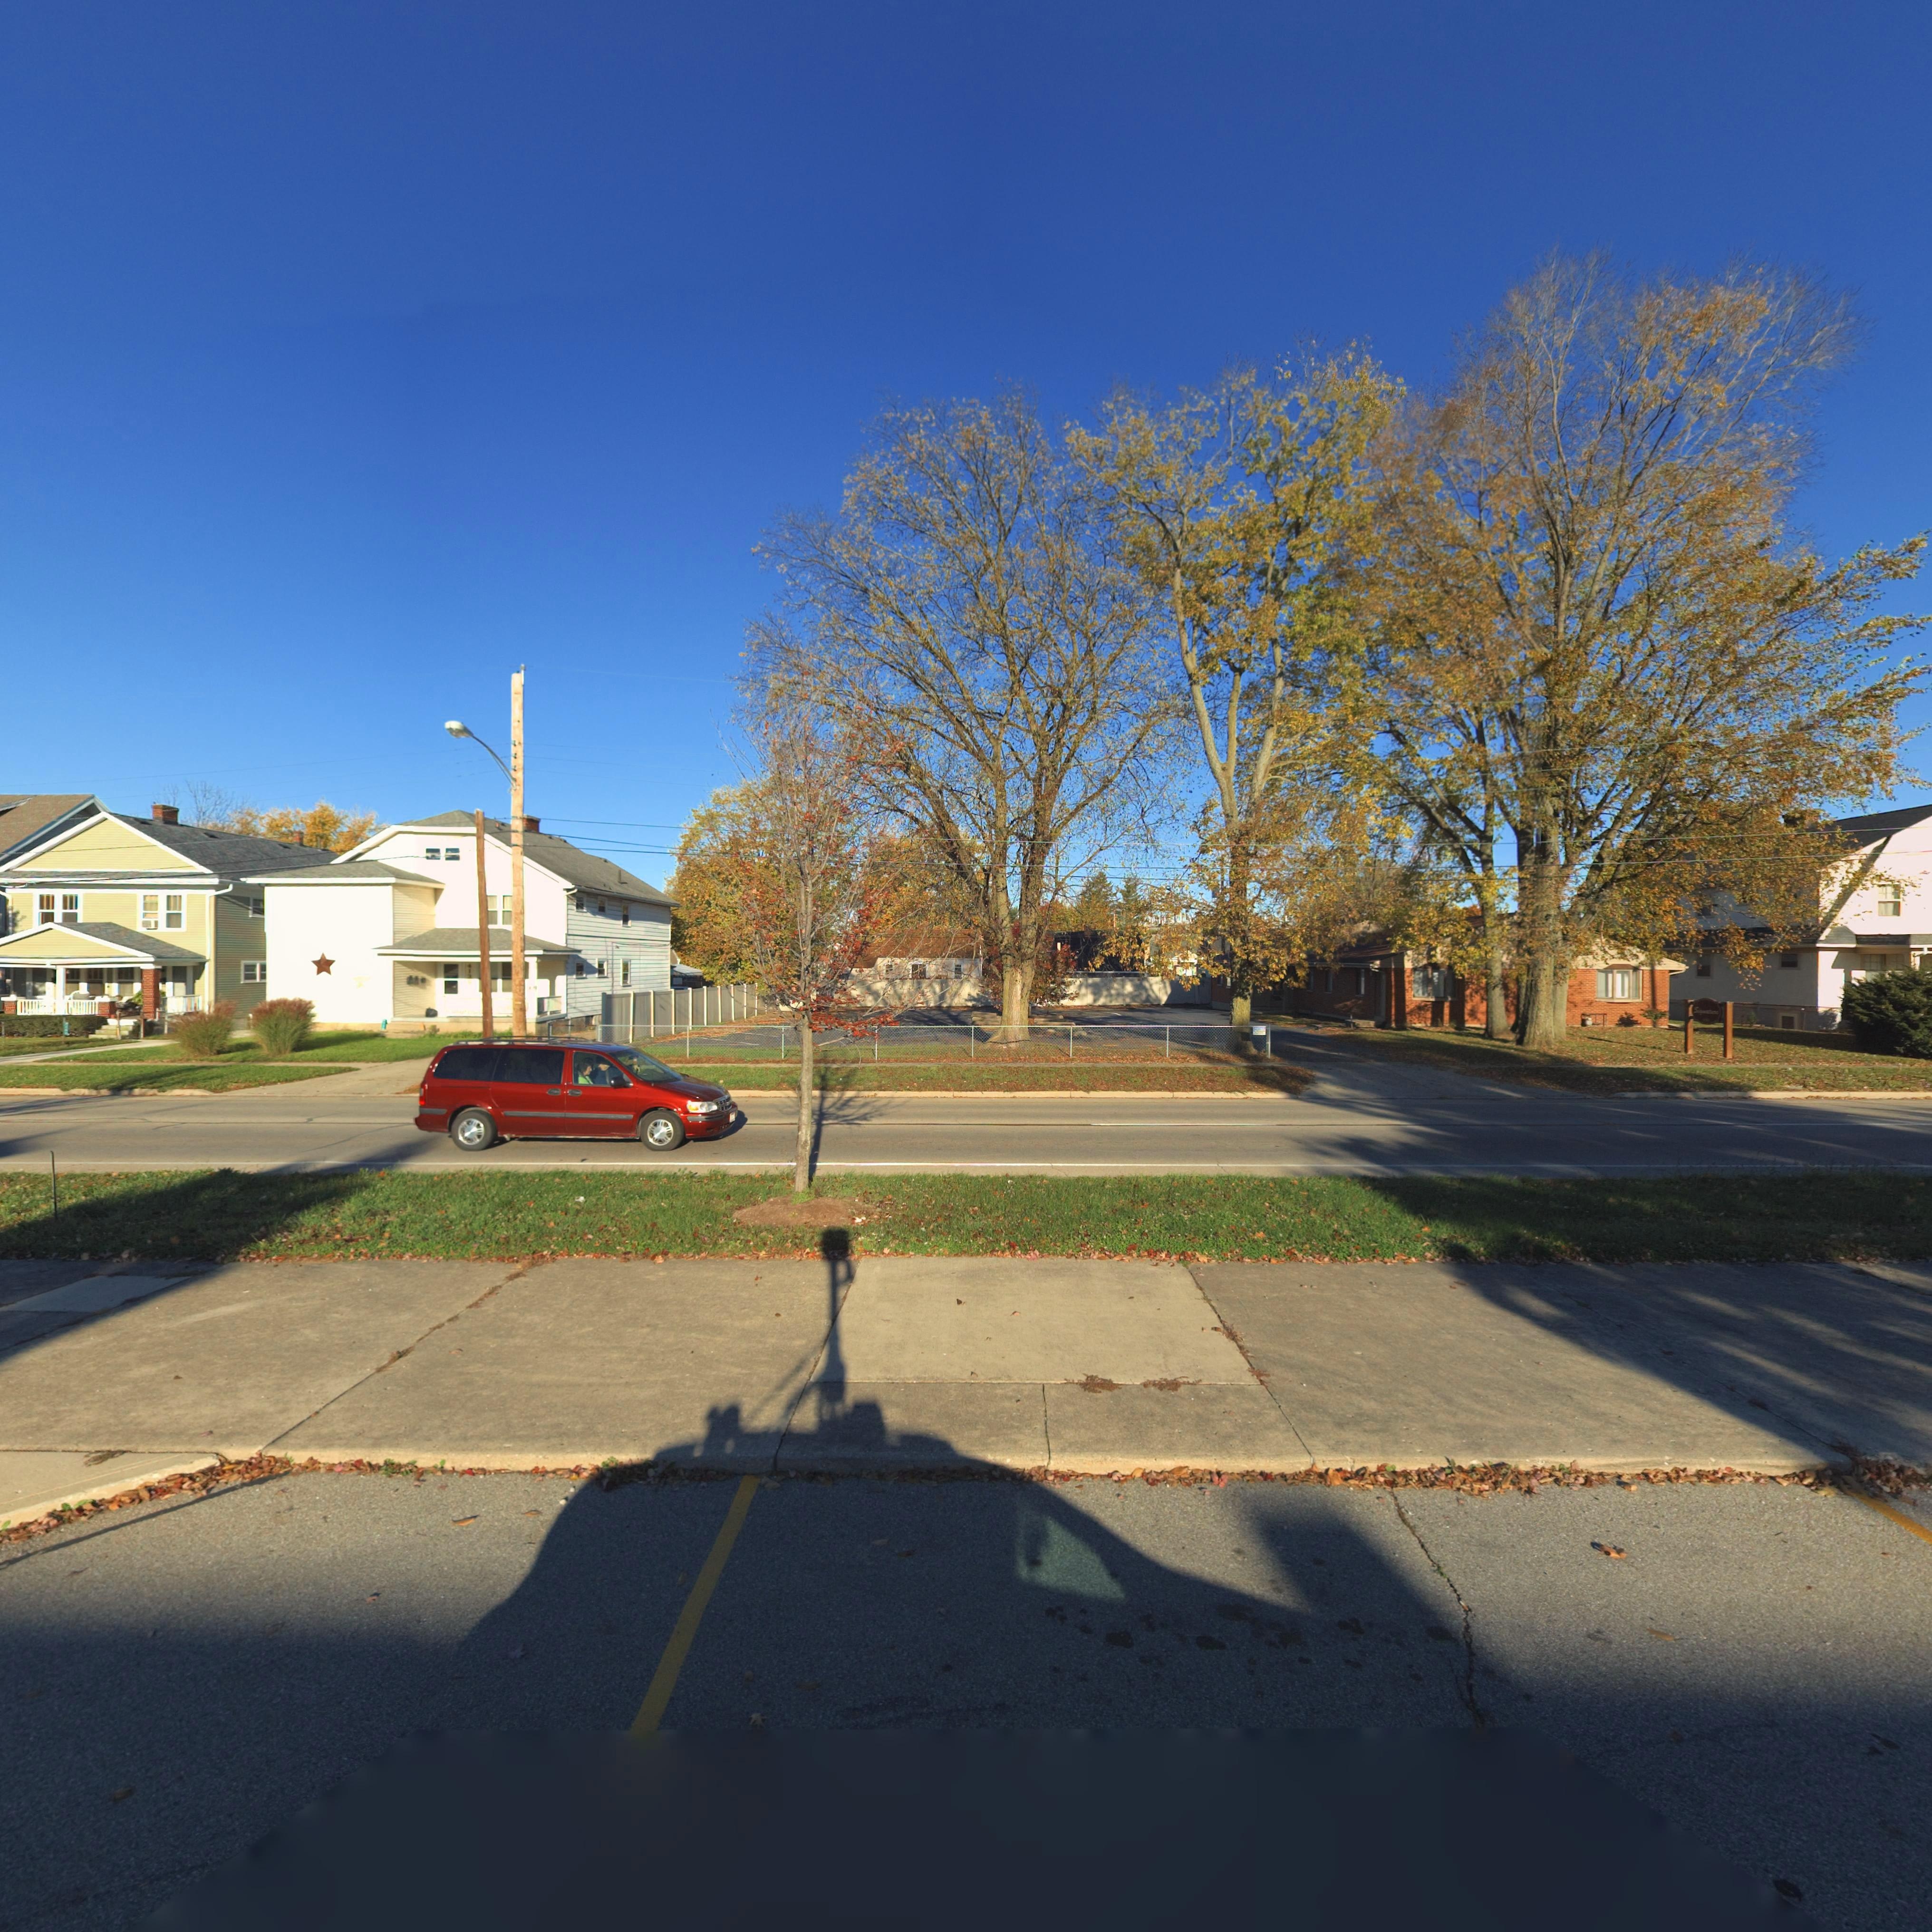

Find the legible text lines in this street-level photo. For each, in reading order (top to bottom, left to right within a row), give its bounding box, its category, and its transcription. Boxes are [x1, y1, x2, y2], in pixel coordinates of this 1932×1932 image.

[466, 963, 472, 985] StreetNumber: 413*